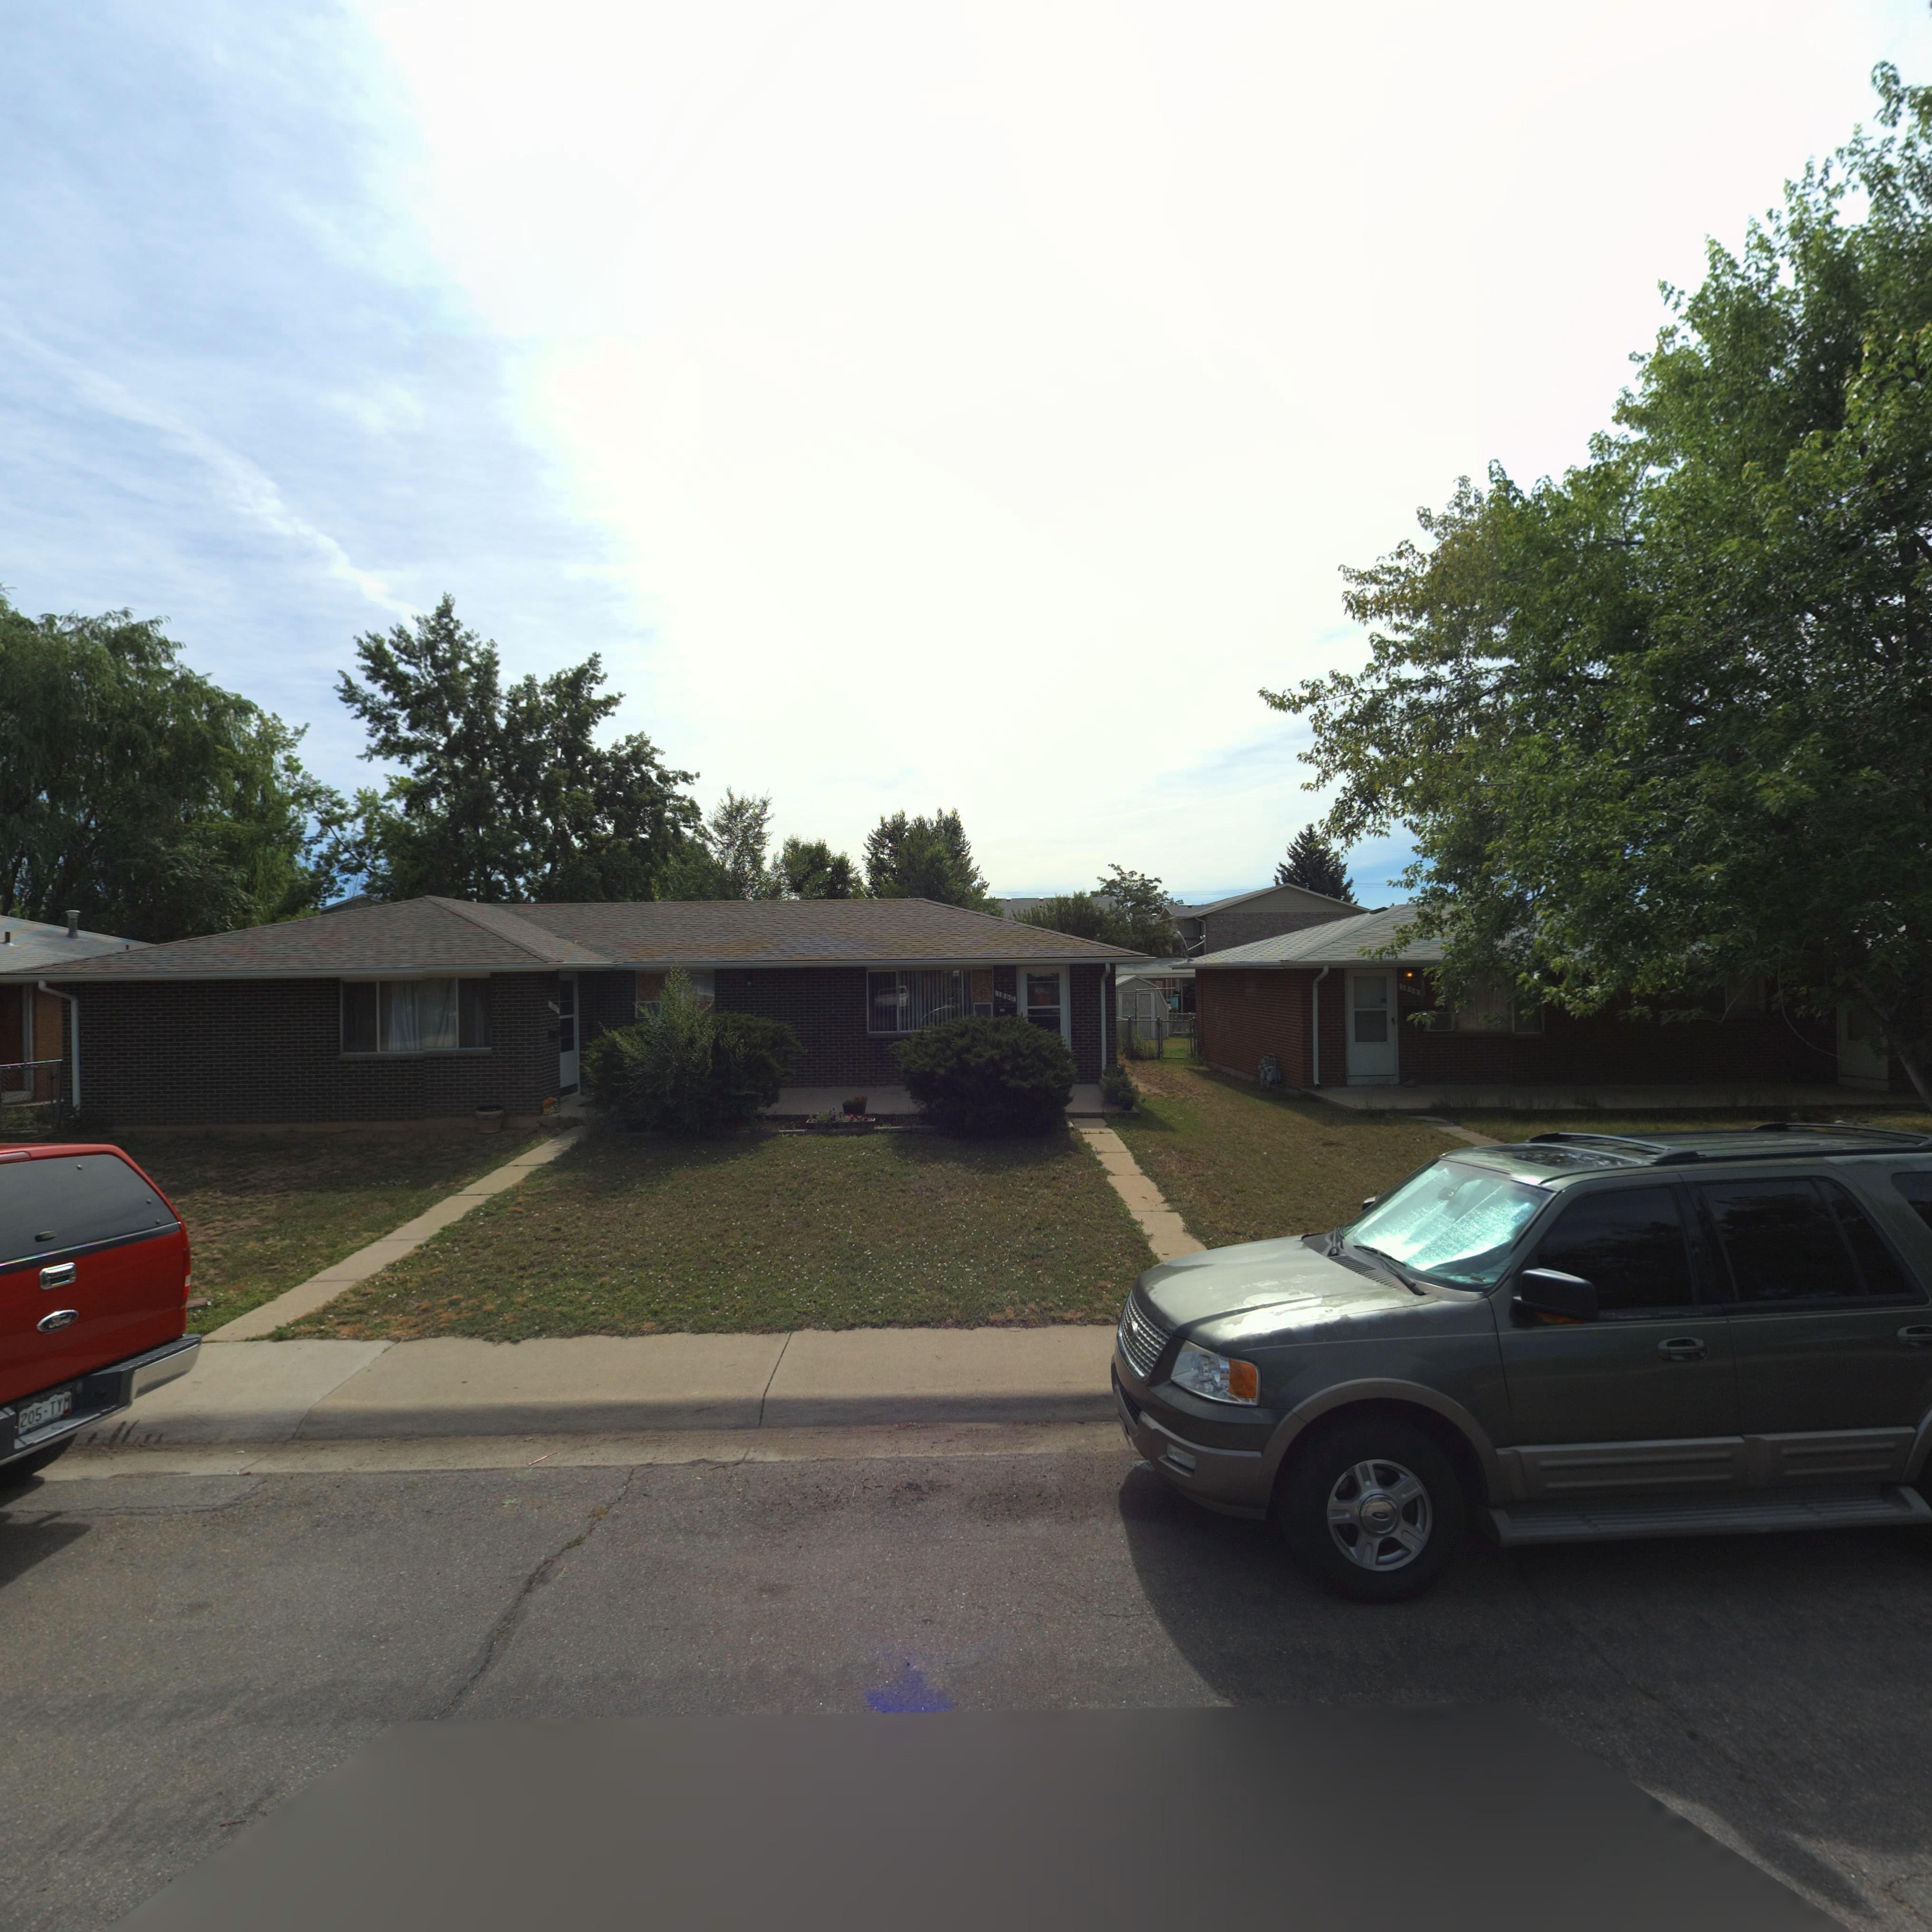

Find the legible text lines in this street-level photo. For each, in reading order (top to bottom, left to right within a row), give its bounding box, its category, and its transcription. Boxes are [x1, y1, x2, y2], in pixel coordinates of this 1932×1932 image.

[1401, 984, 1418, 995] StreetNumber: 1856
[997, 990, 1014, 1001] StreetNumber: 1860